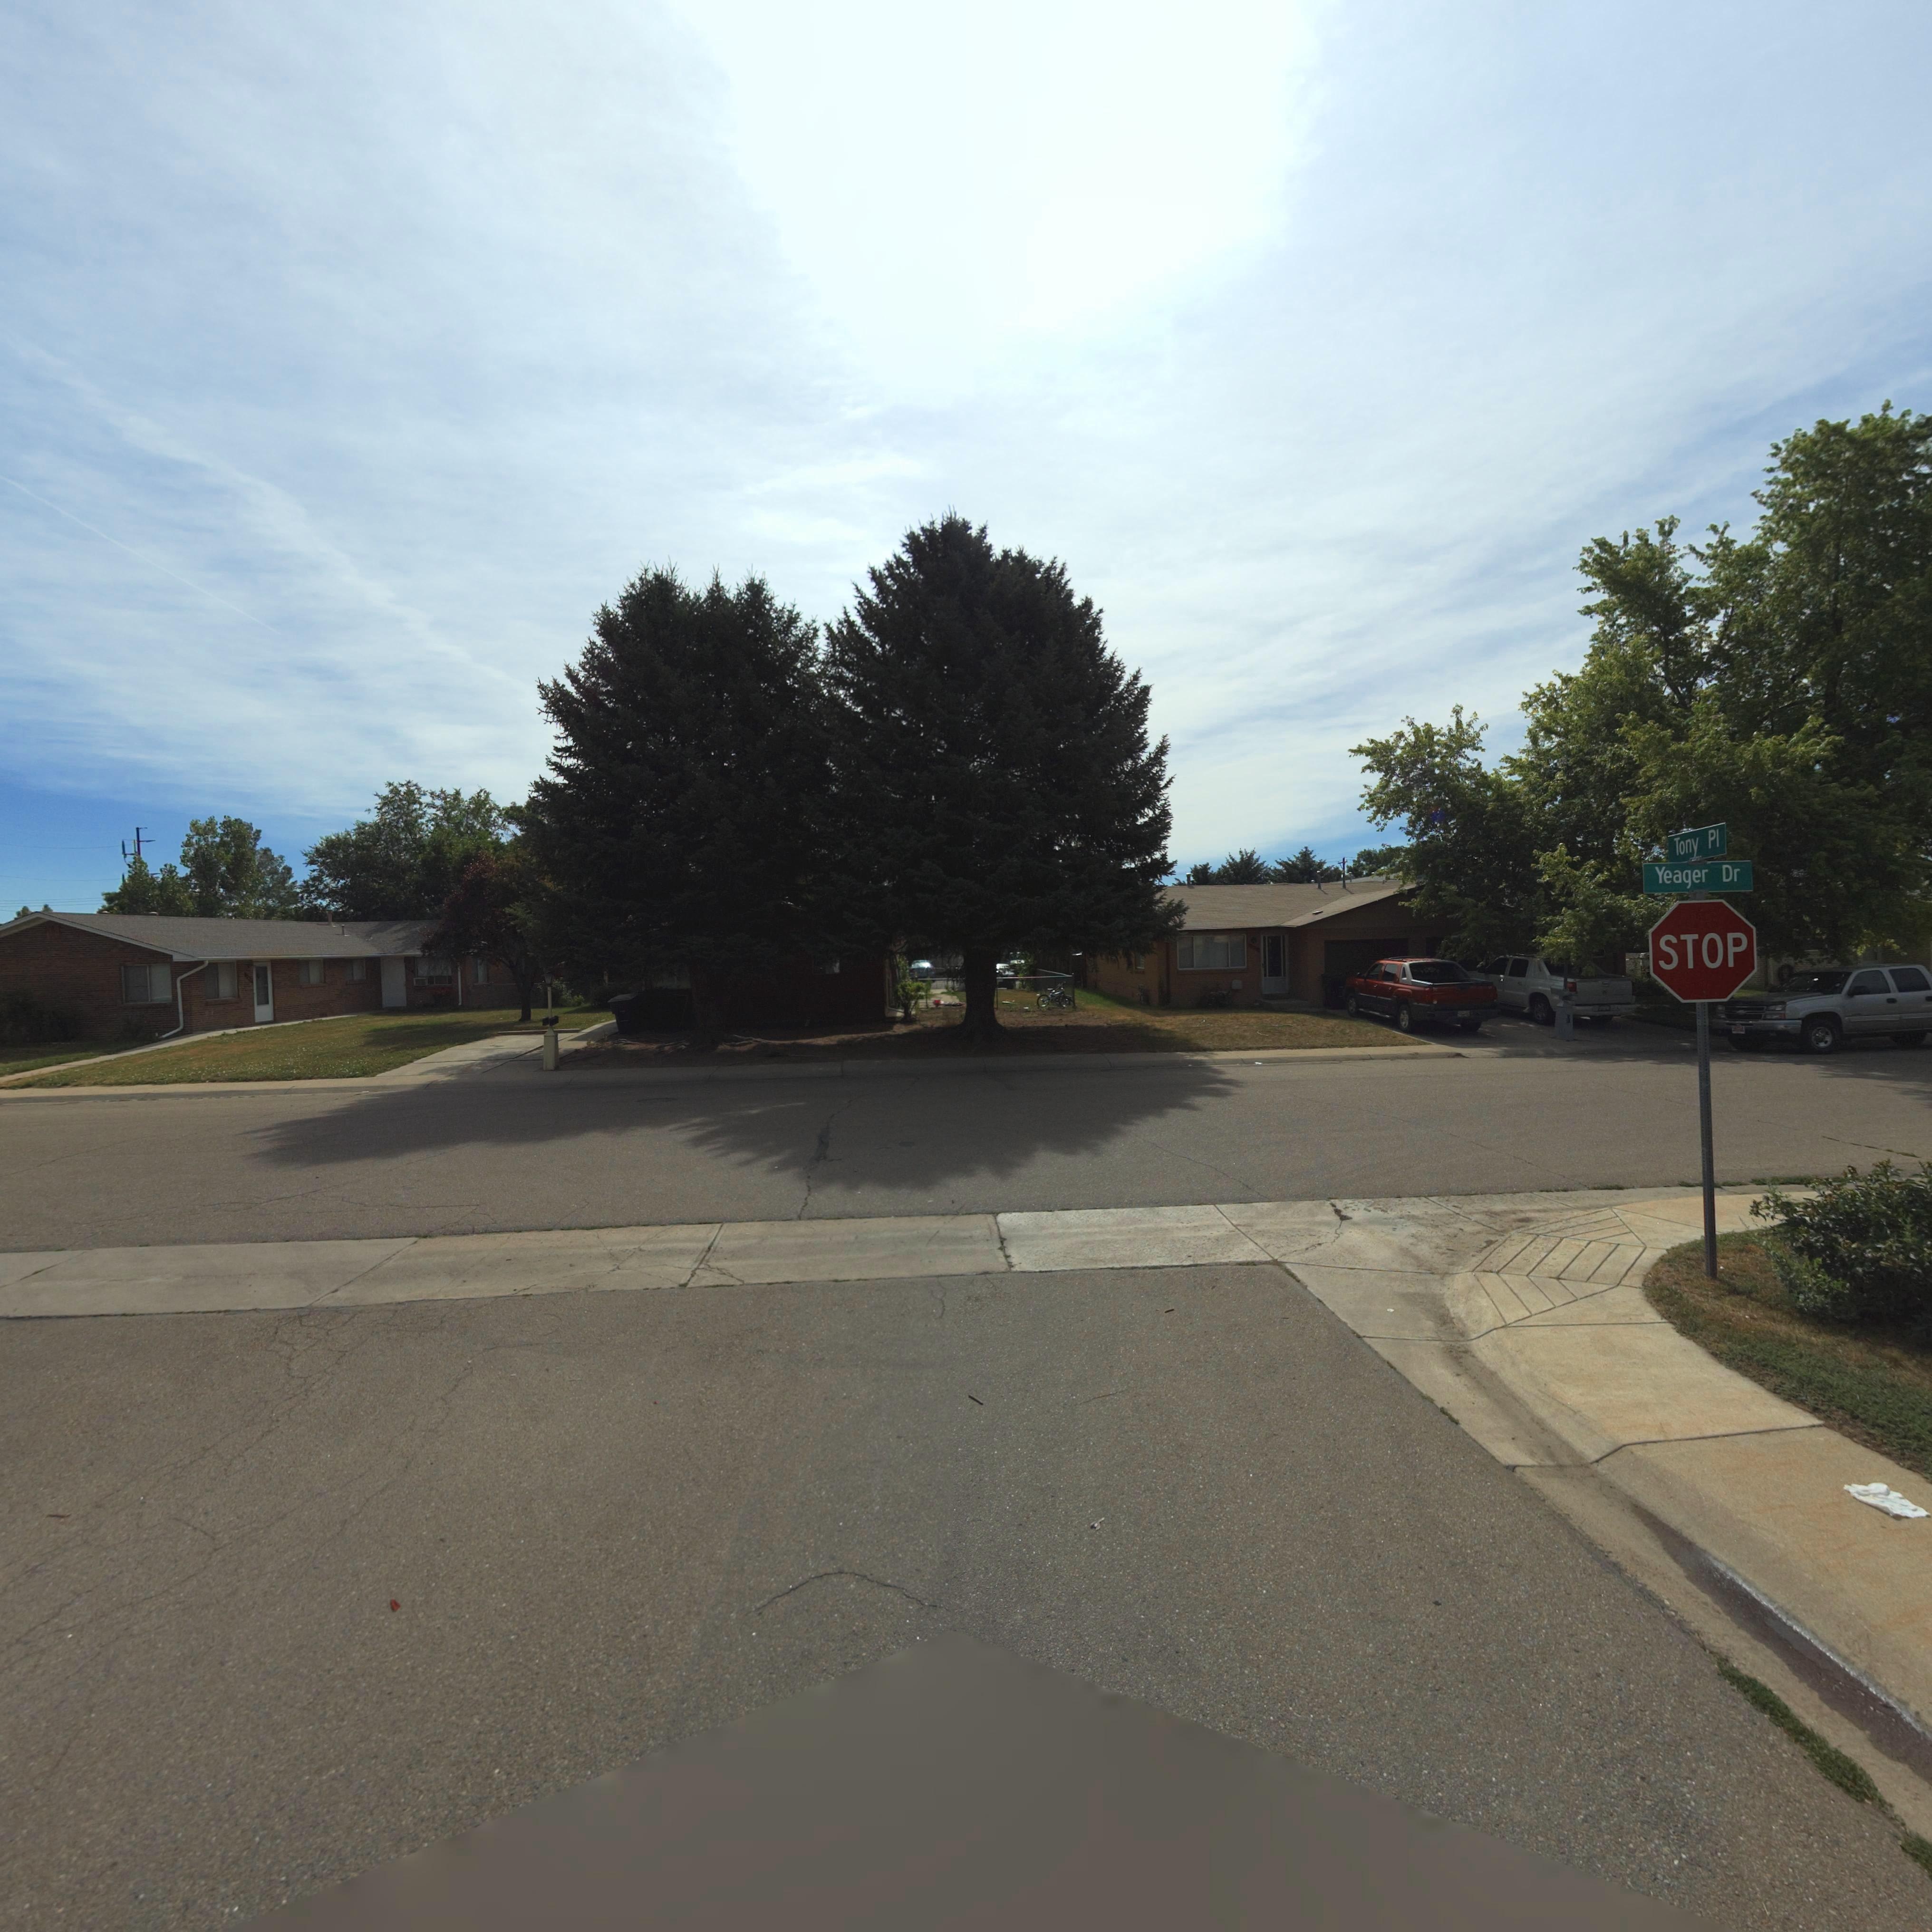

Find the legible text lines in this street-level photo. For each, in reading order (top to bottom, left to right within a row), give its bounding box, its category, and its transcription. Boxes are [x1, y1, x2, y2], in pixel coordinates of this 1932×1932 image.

[1673, 828, 1719, 858] StreetName: Tony Pl
[1654, 864, 1740, 889] StreetName: Yeager Dr